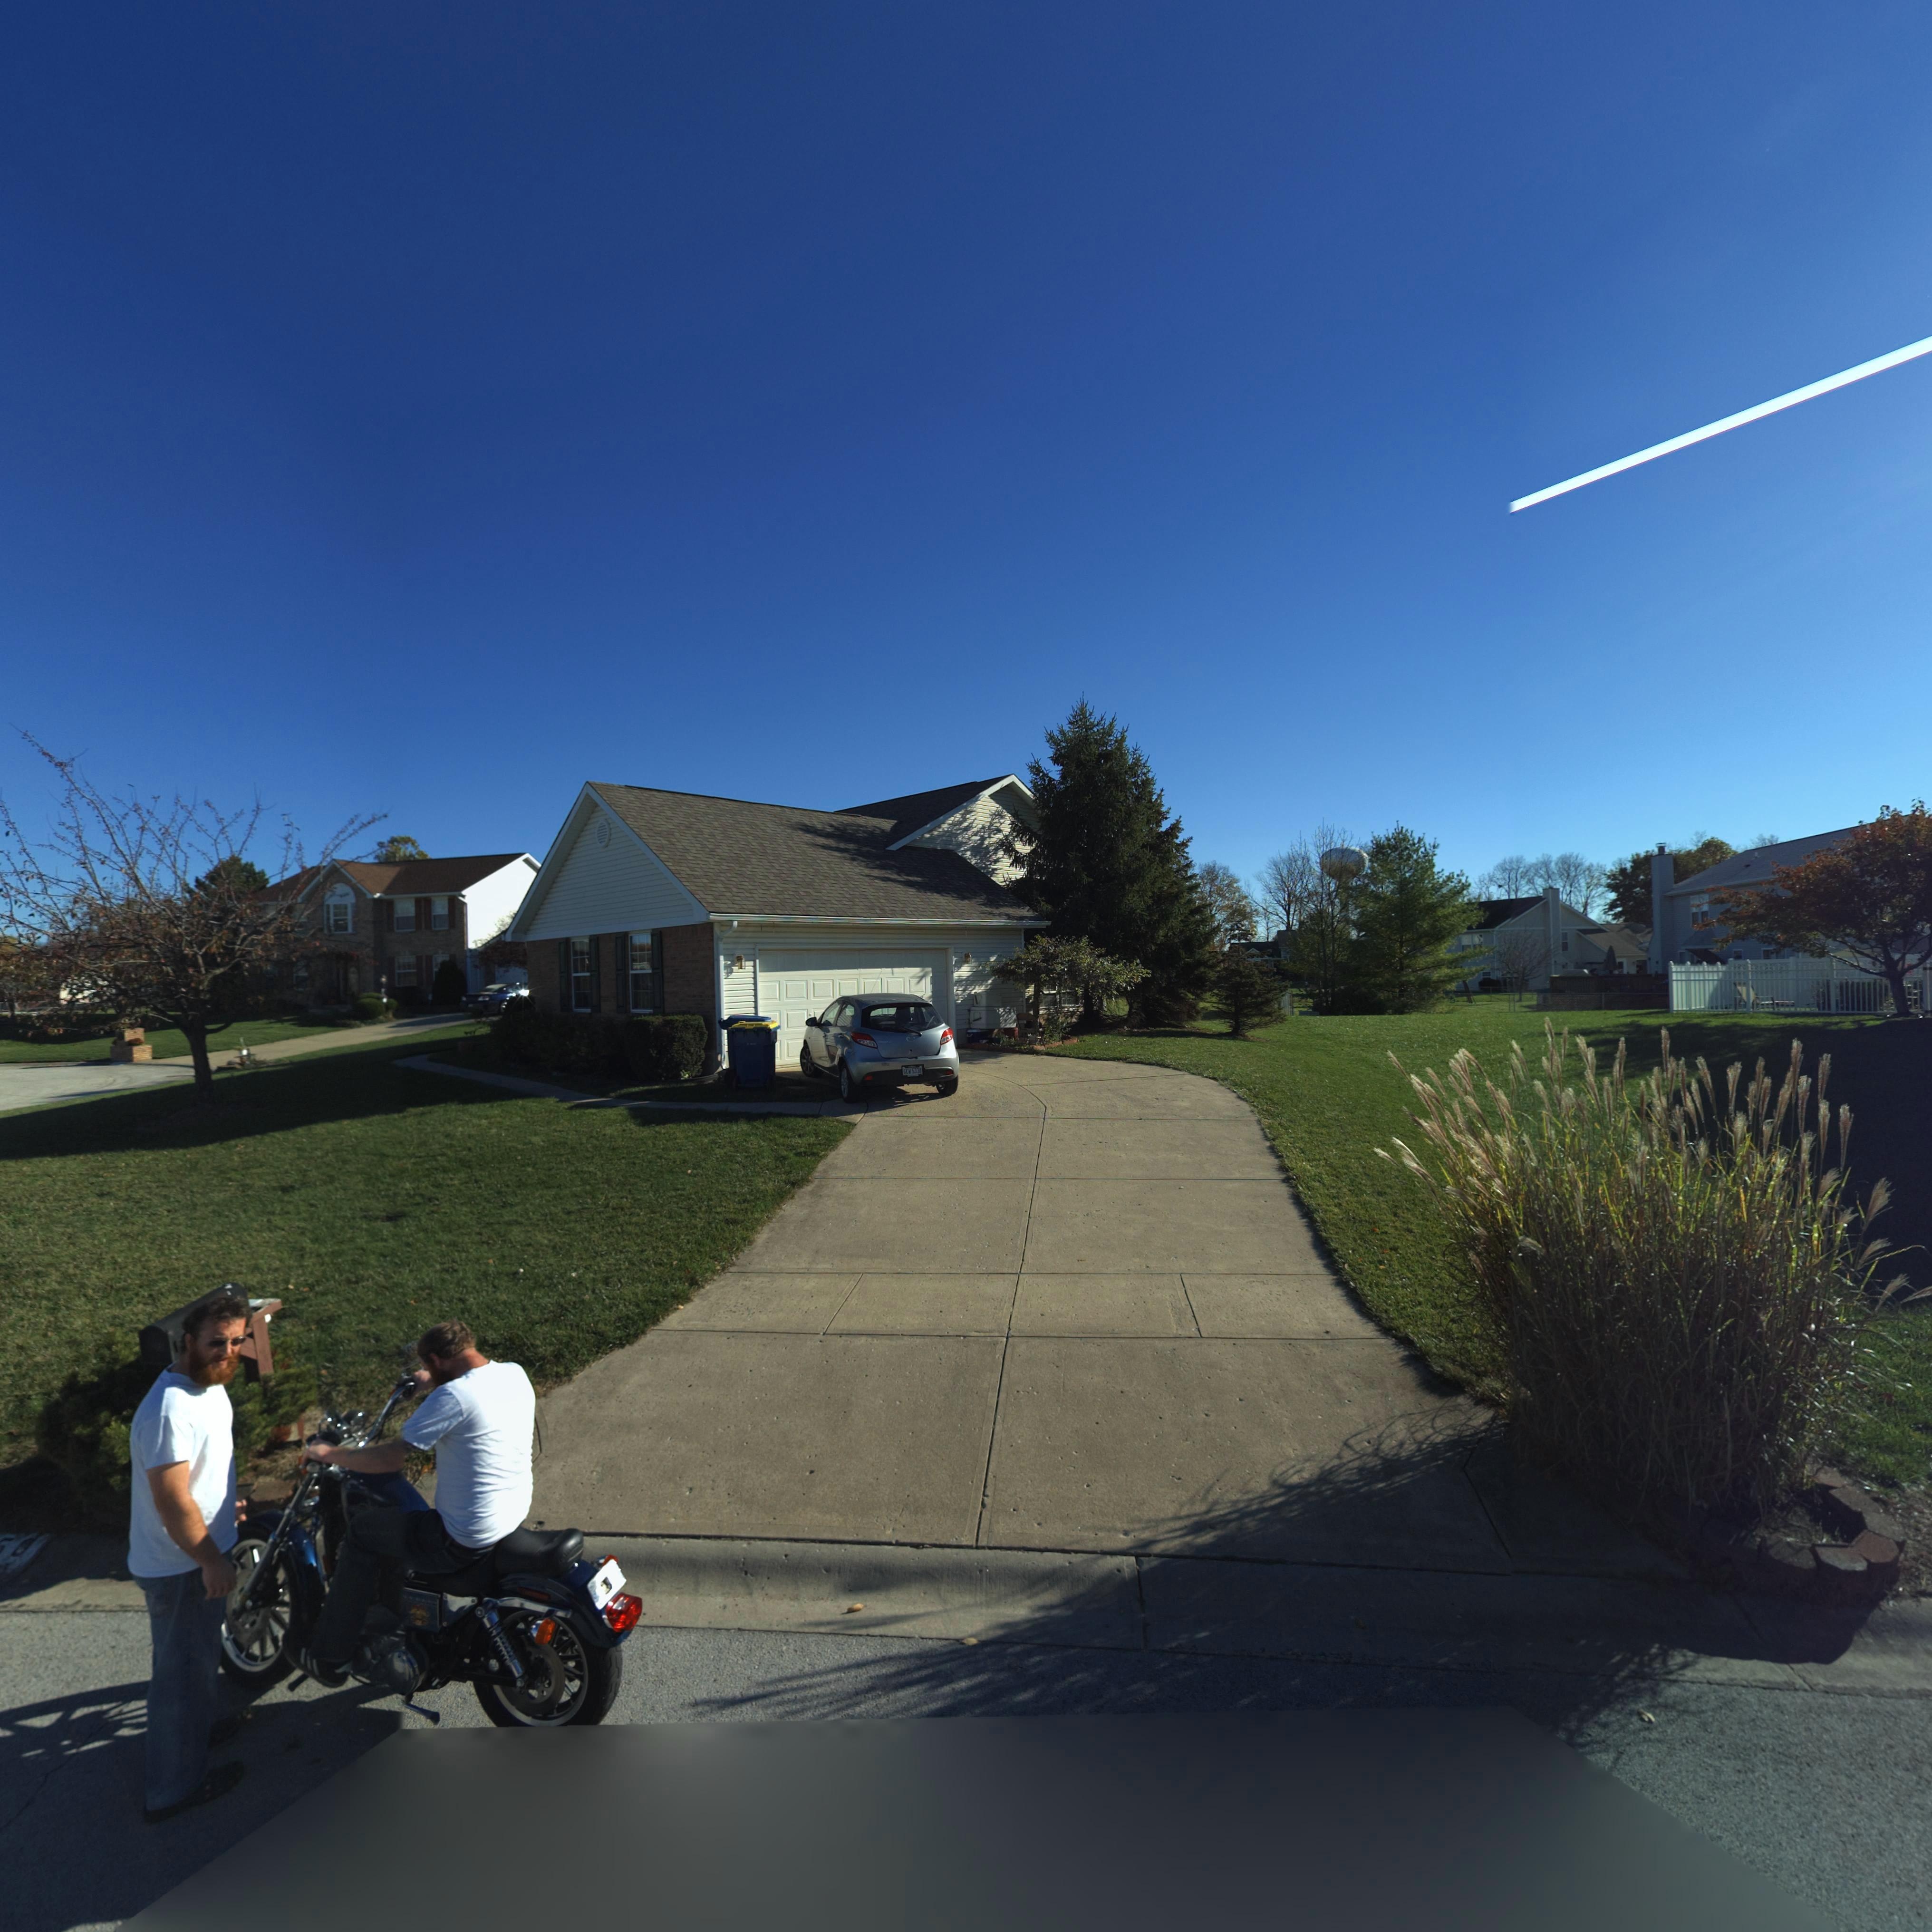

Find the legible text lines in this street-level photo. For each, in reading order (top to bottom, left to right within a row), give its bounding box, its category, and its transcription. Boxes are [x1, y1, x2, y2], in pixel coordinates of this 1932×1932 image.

[9, 1536, 39, 1558] StreetNumber: 0